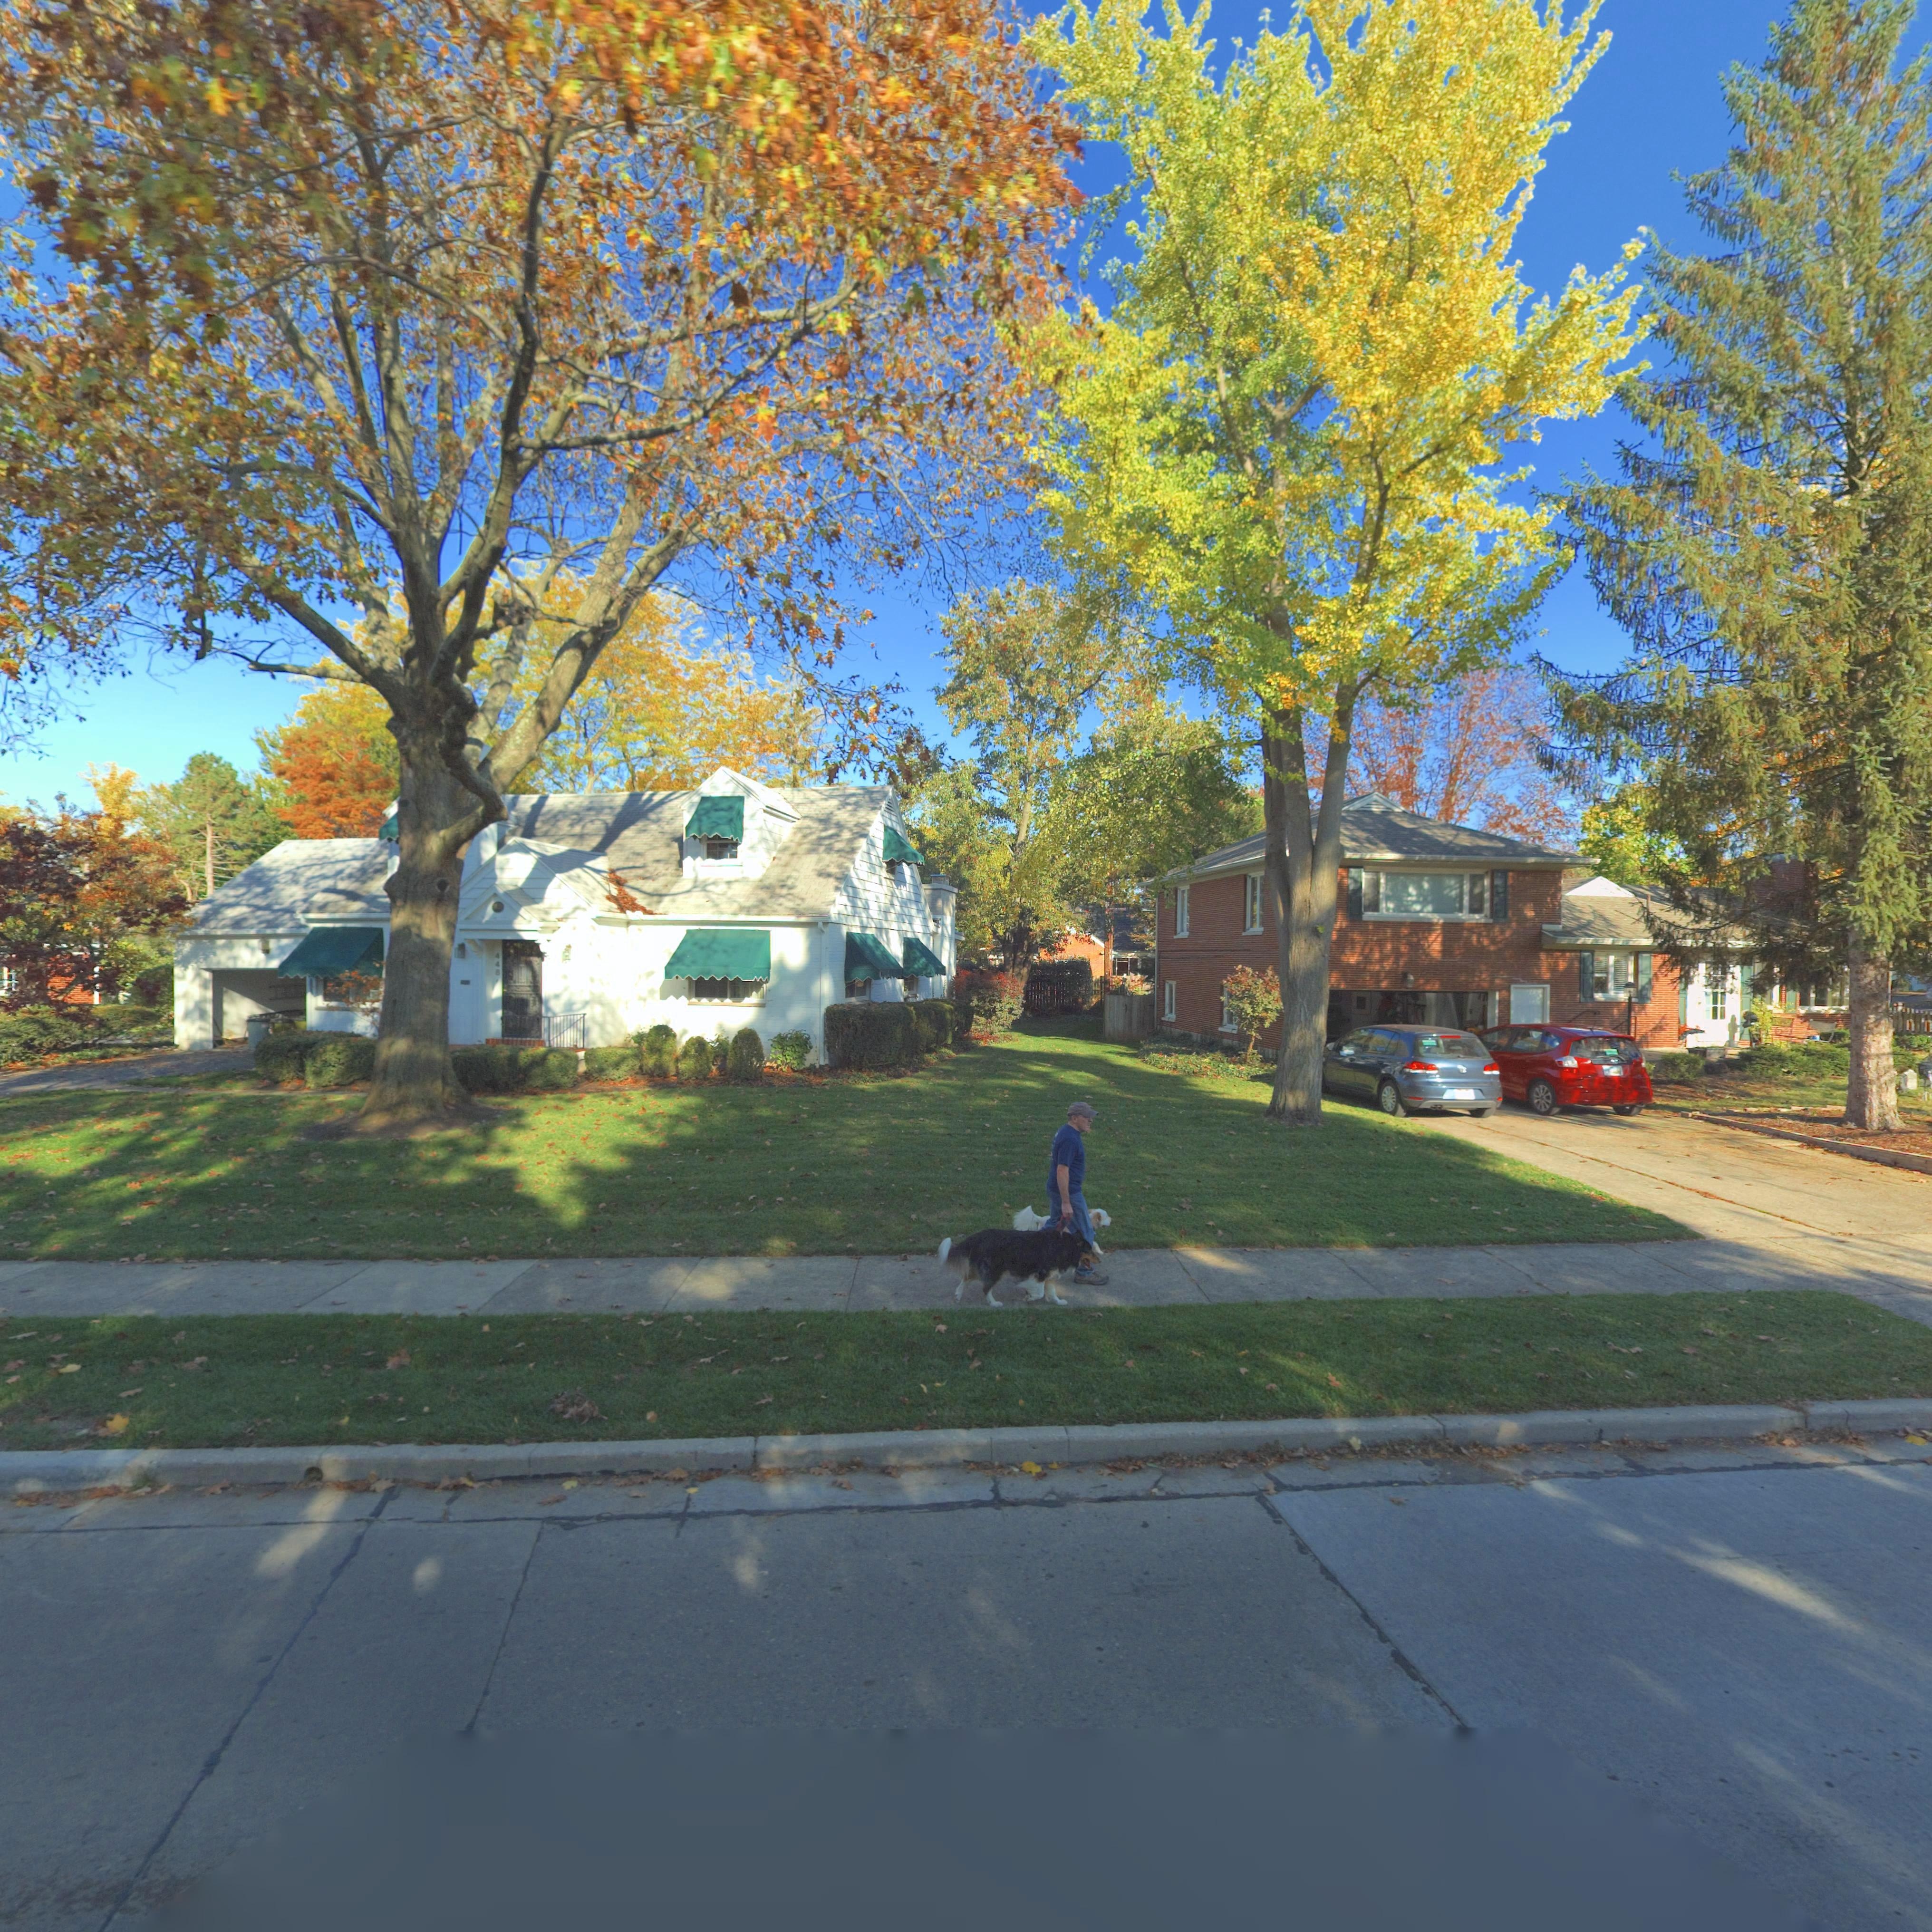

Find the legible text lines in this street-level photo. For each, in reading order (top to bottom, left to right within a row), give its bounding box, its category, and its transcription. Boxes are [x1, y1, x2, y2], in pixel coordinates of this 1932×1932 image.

[494, 952, 501, 976] StreetNumber: 448